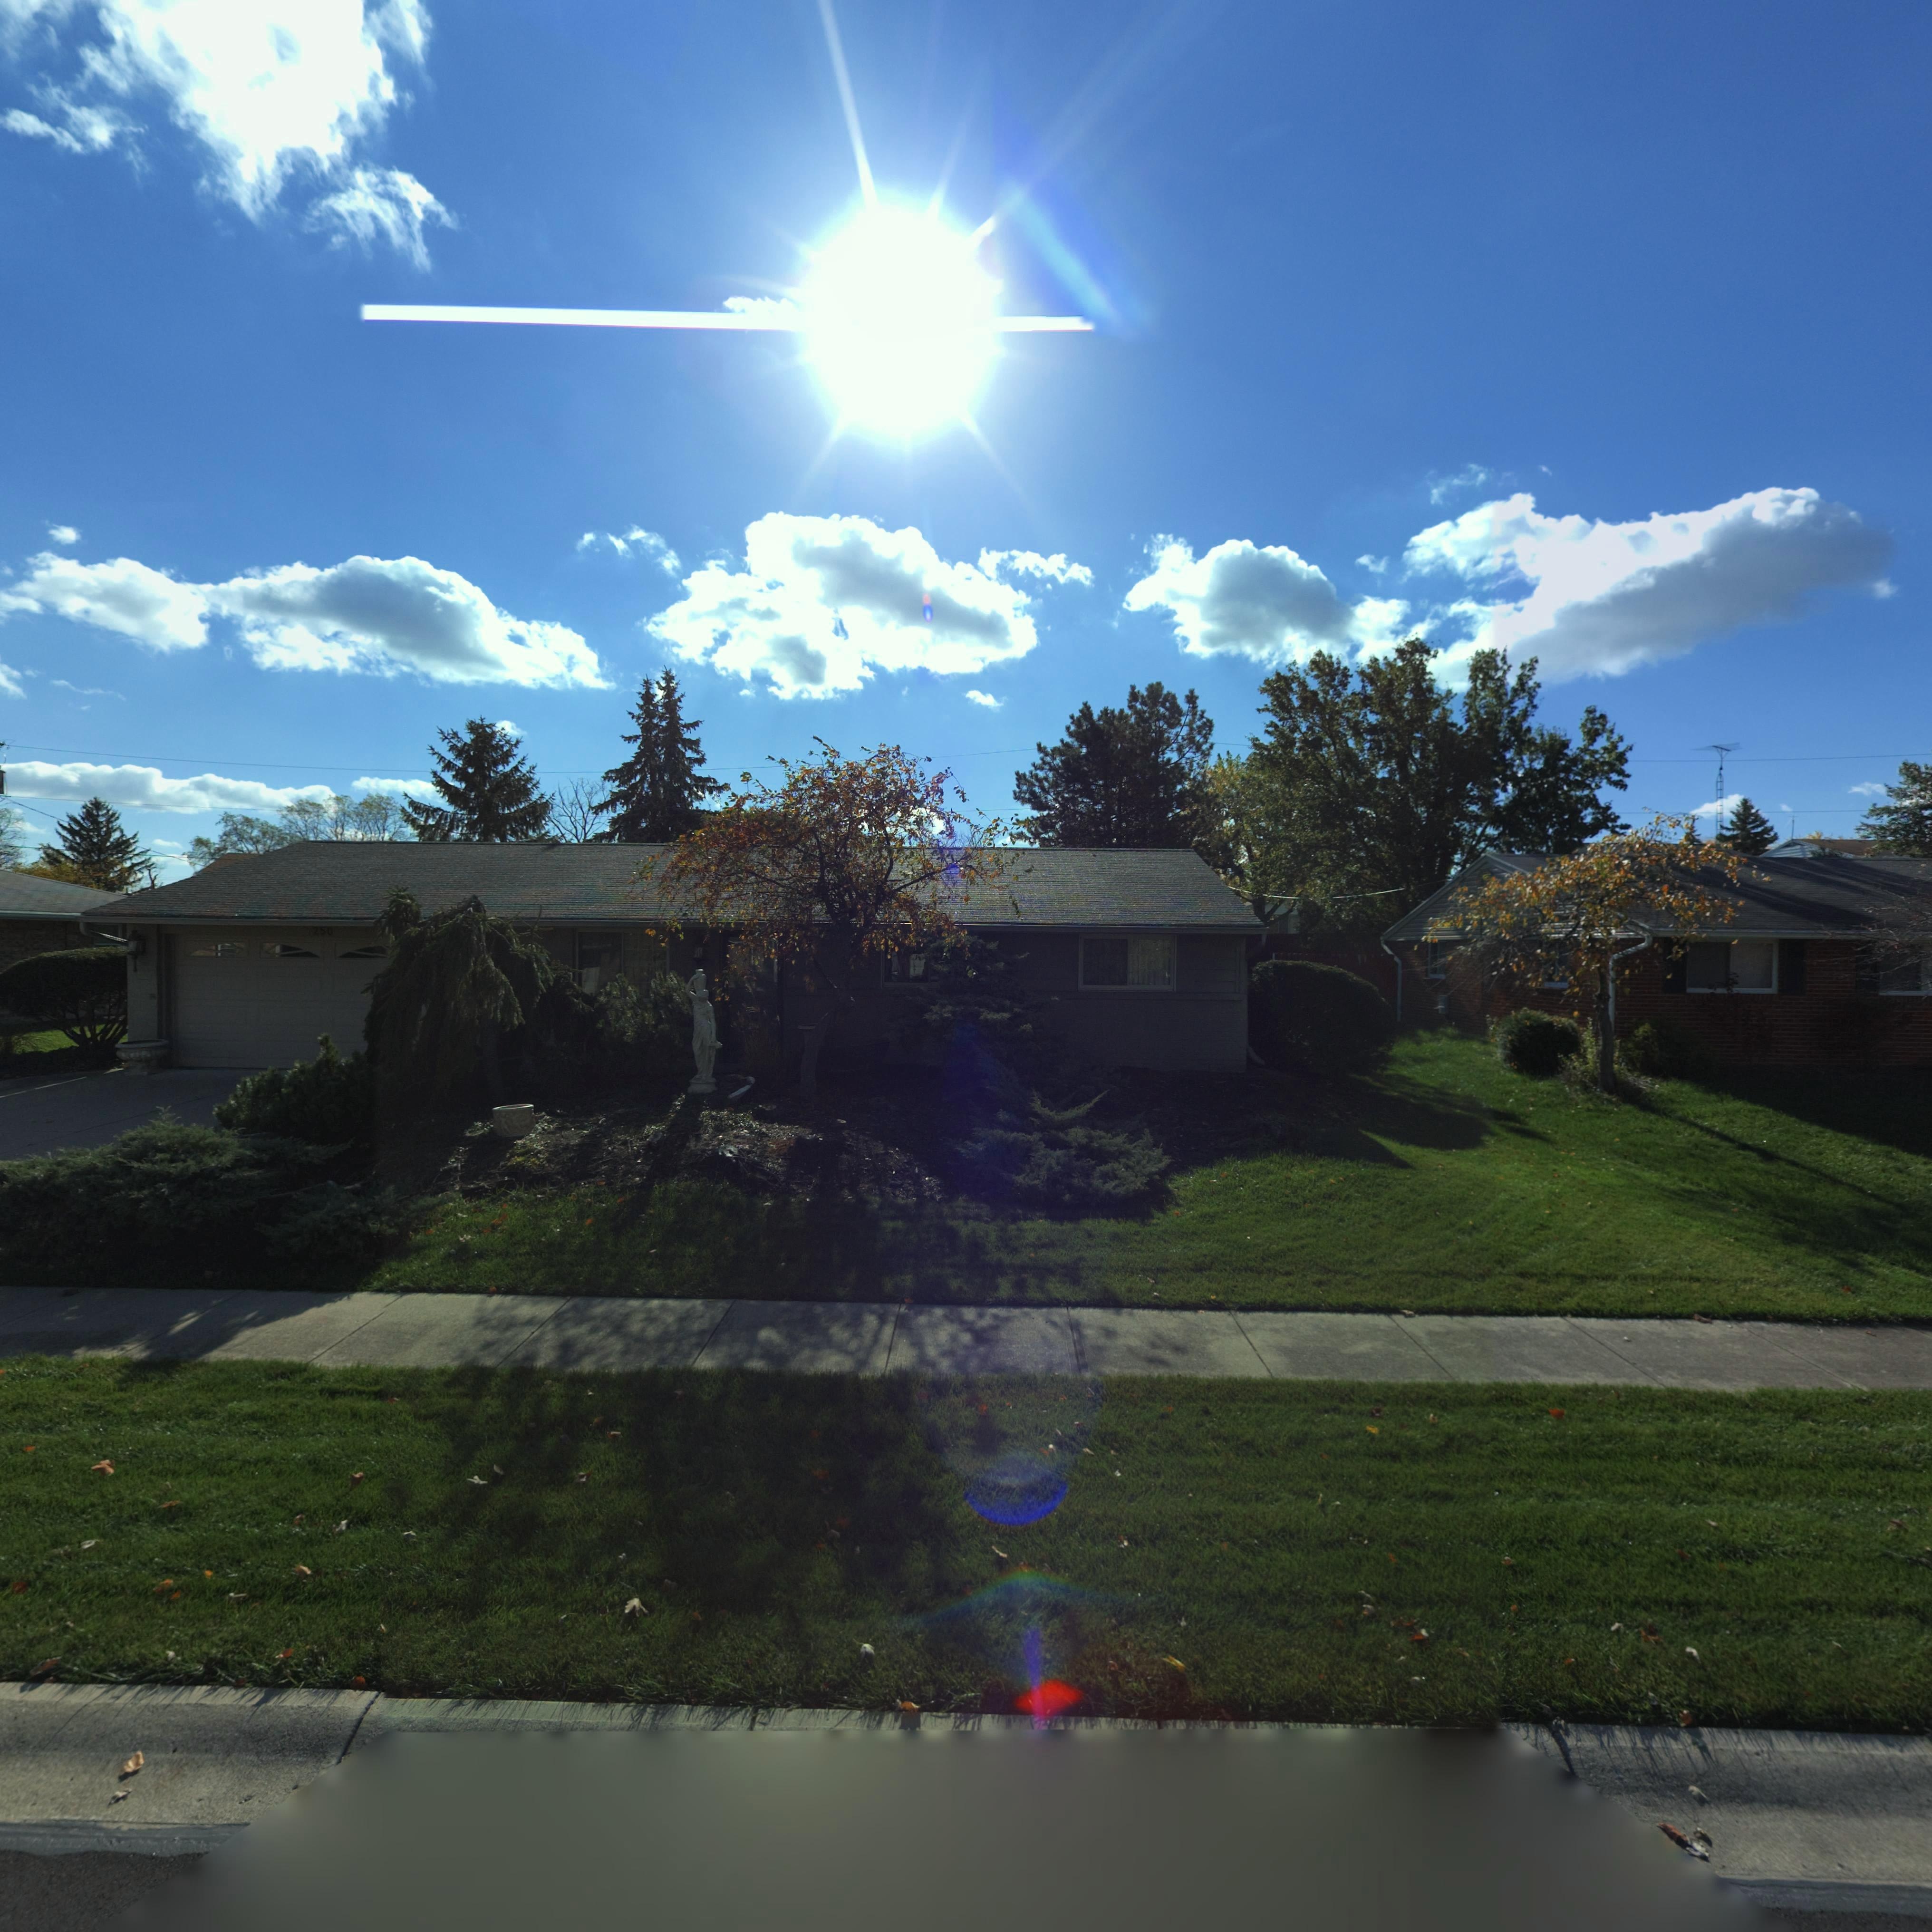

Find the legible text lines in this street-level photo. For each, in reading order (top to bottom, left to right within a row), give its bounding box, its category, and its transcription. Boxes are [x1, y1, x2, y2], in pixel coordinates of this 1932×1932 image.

[312, 926, 334, 937] StreetNumber: 250